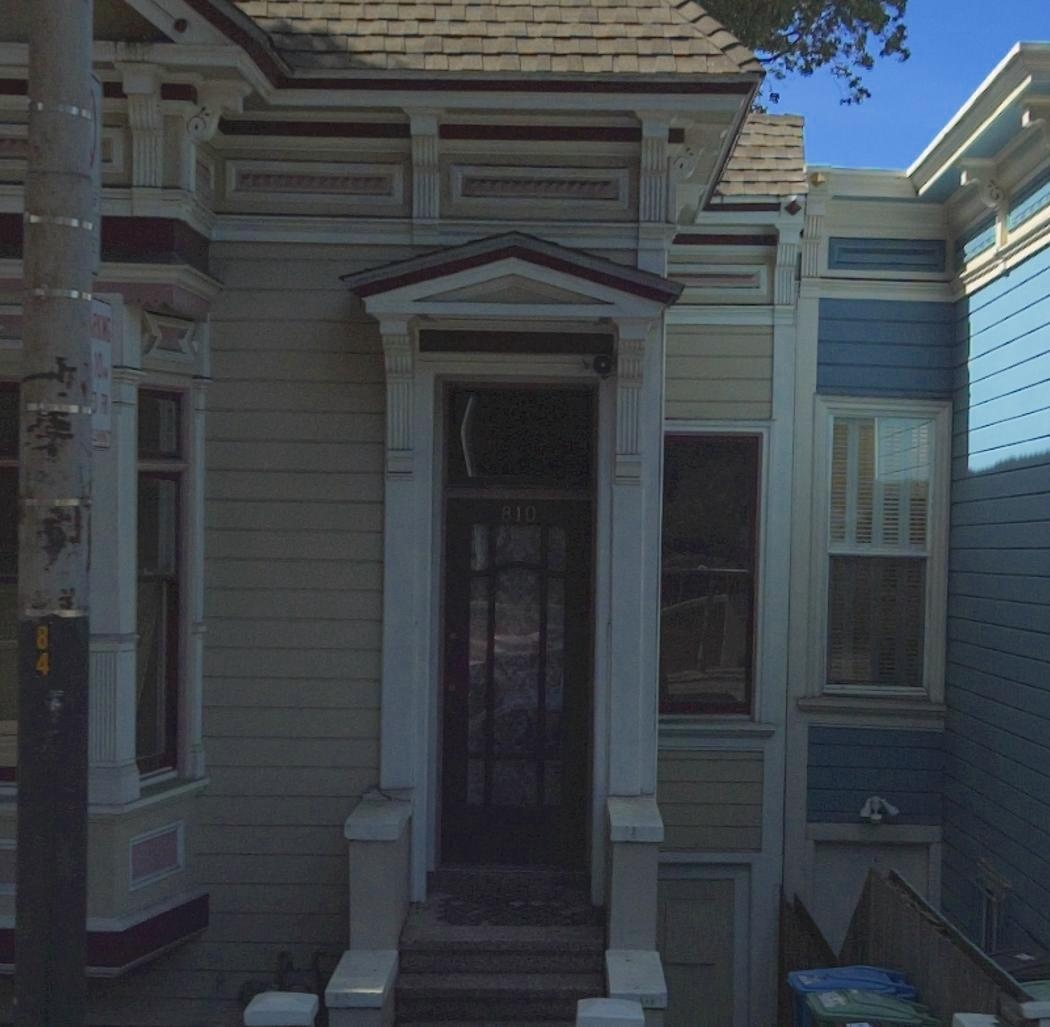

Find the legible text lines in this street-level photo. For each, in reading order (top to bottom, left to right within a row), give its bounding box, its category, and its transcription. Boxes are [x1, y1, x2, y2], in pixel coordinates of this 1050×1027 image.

[92, 348, 104, 380] None: 10
[500, 504, 537, 523] StreetNumber: 810
[34, 622, 52, 679] None: 84